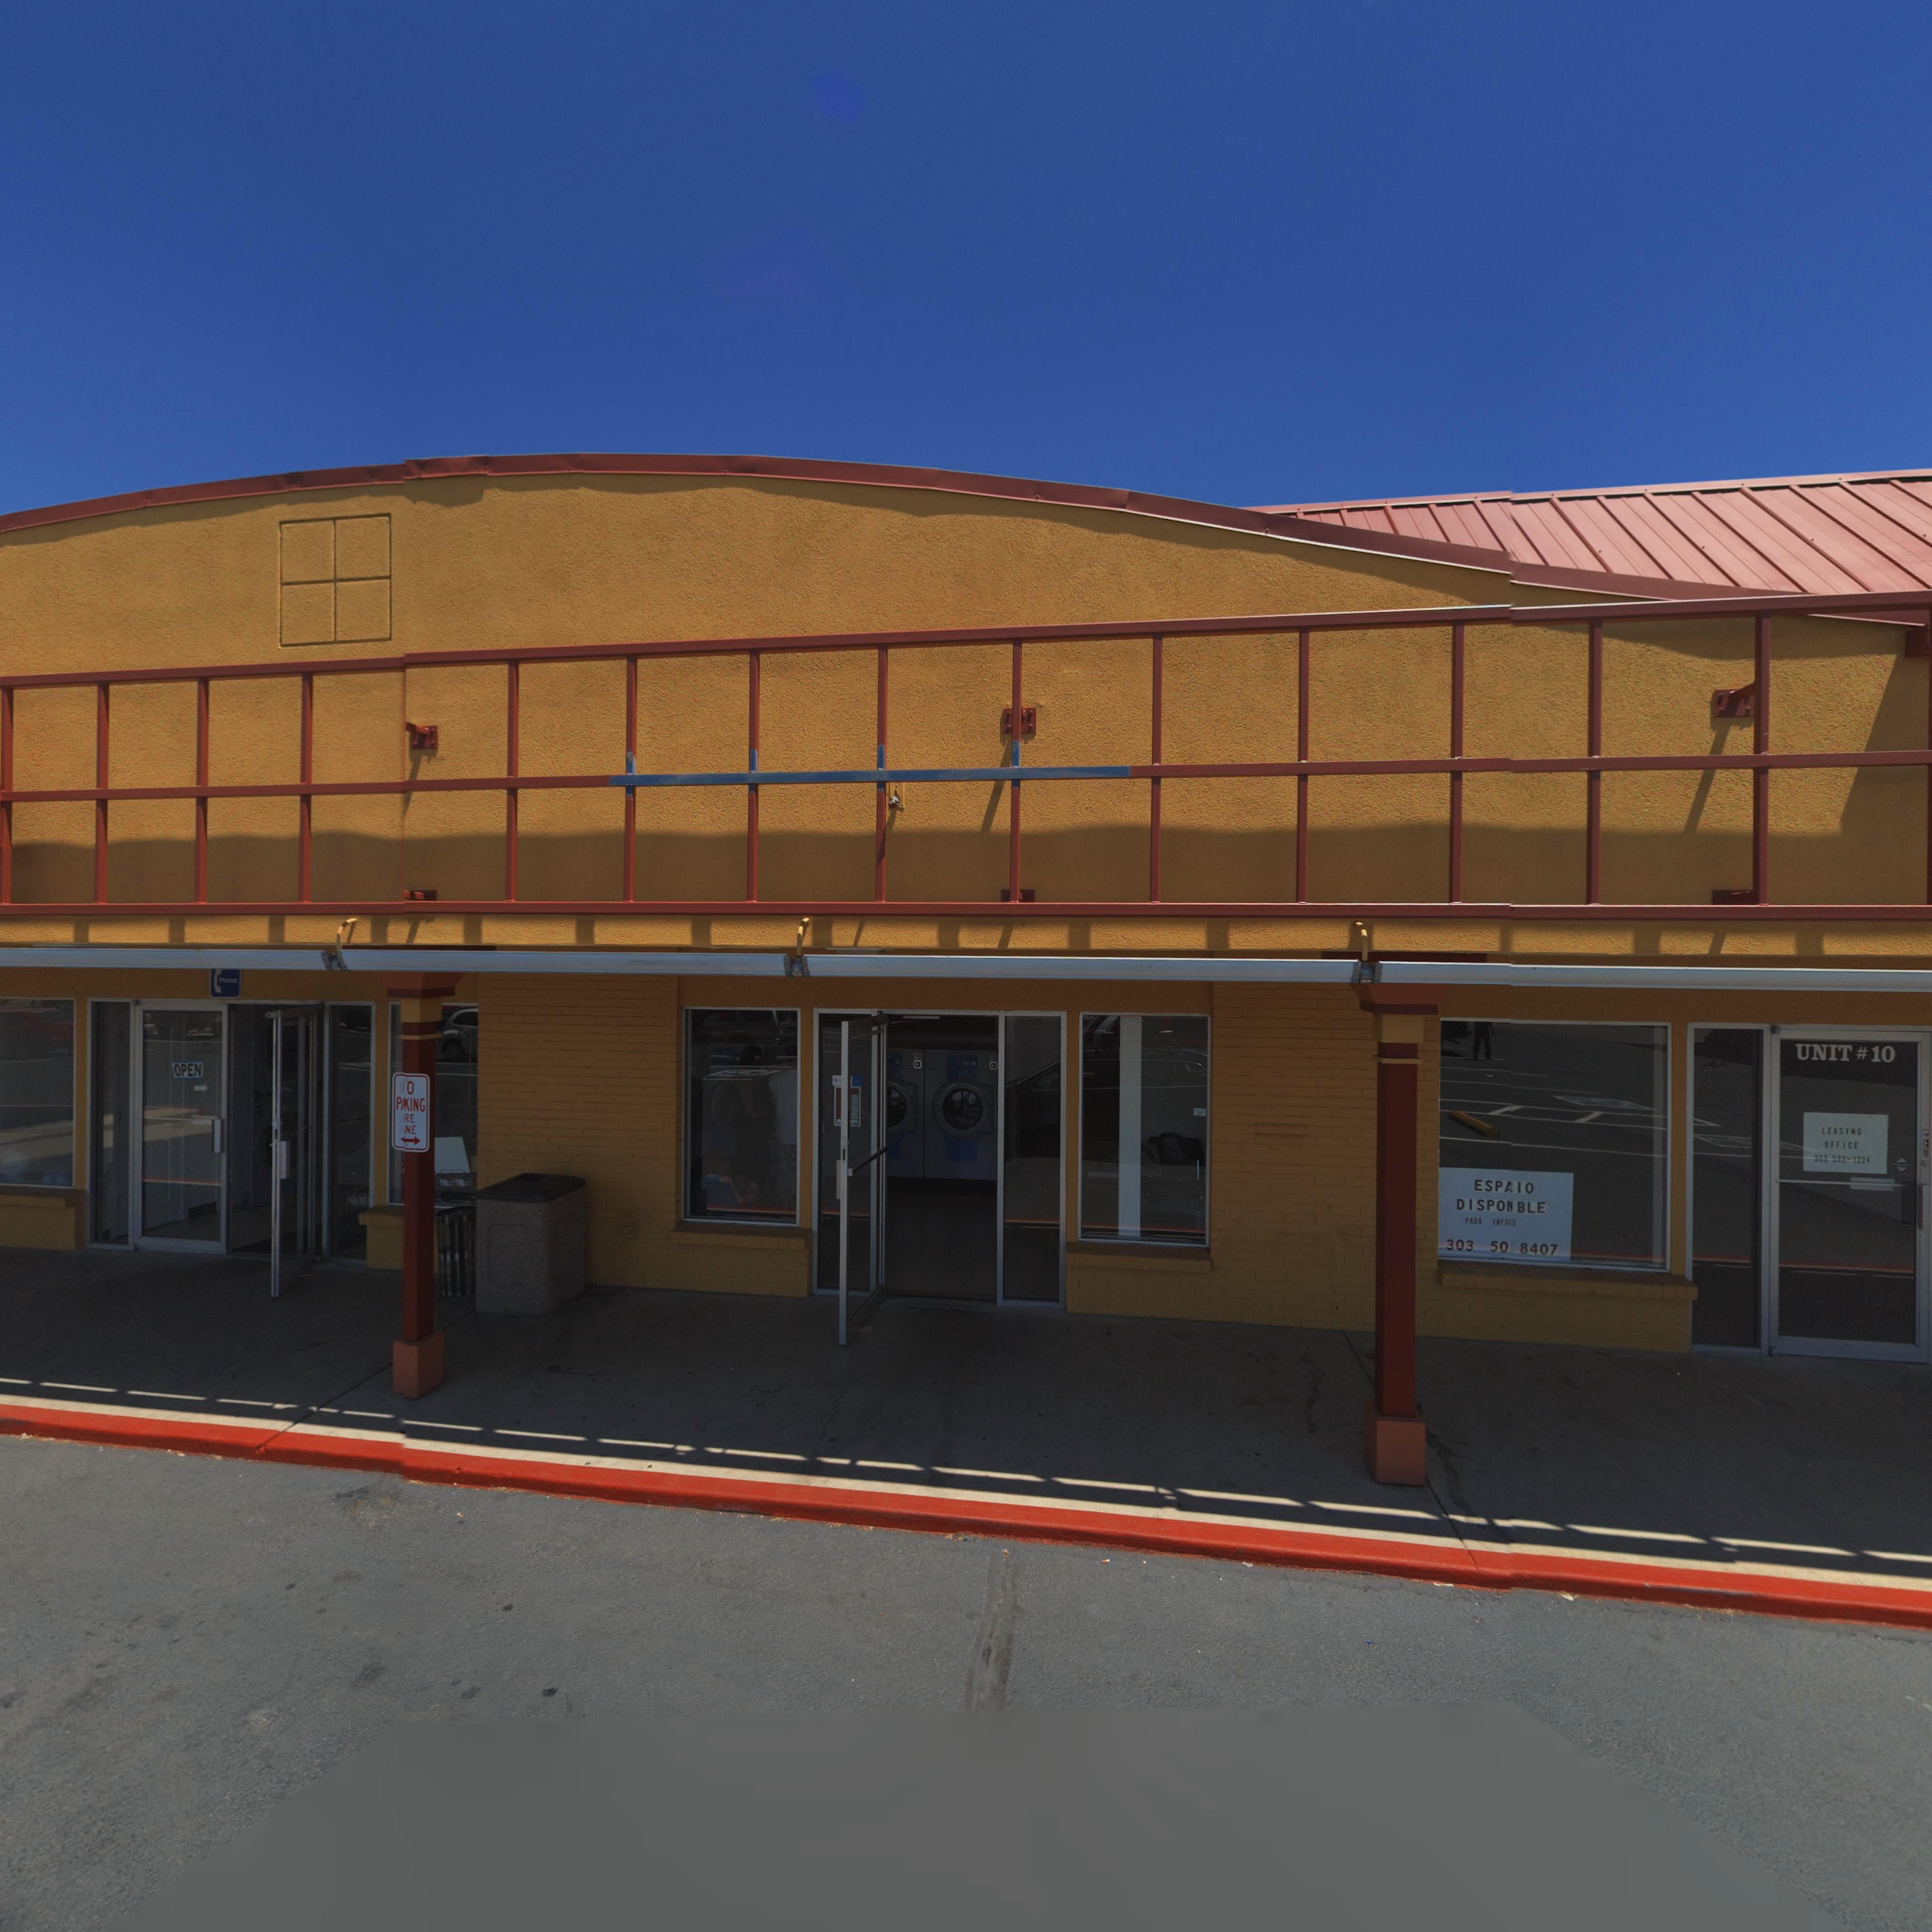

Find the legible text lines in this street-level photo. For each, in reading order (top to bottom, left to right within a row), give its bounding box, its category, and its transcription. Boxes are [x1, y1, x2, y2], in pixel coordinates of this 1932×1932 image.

[1793, 1043, 1896, 1063] SecondaryUnitDesignator: UNIT * 10